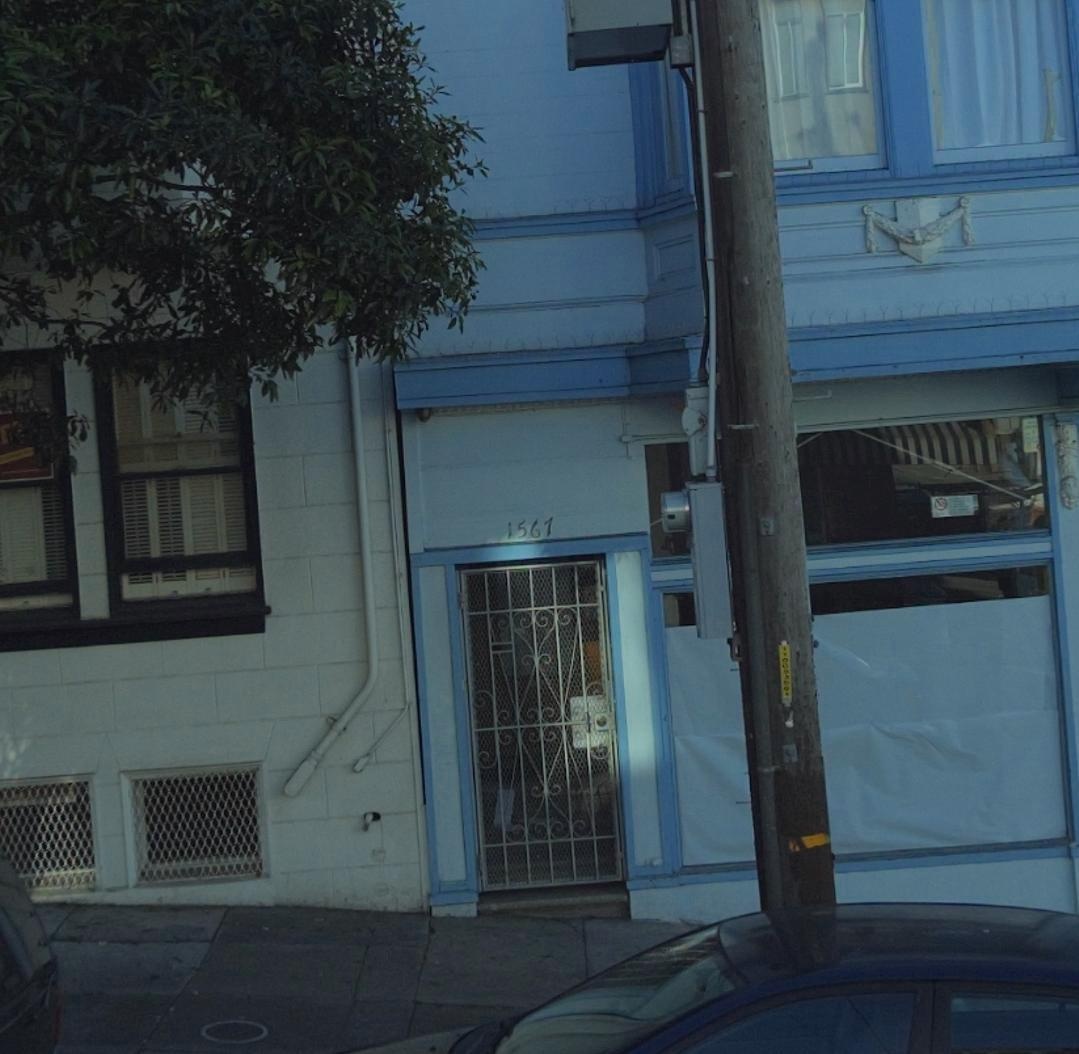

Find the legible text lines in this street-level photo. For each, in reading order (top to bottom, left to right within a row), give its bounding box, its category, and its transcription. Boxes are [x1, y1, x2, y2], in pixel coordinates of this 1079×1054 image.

[505, 514, 556, 543] StreetNumber: 1567
[778, 644, 792, 699] None: 110033**1